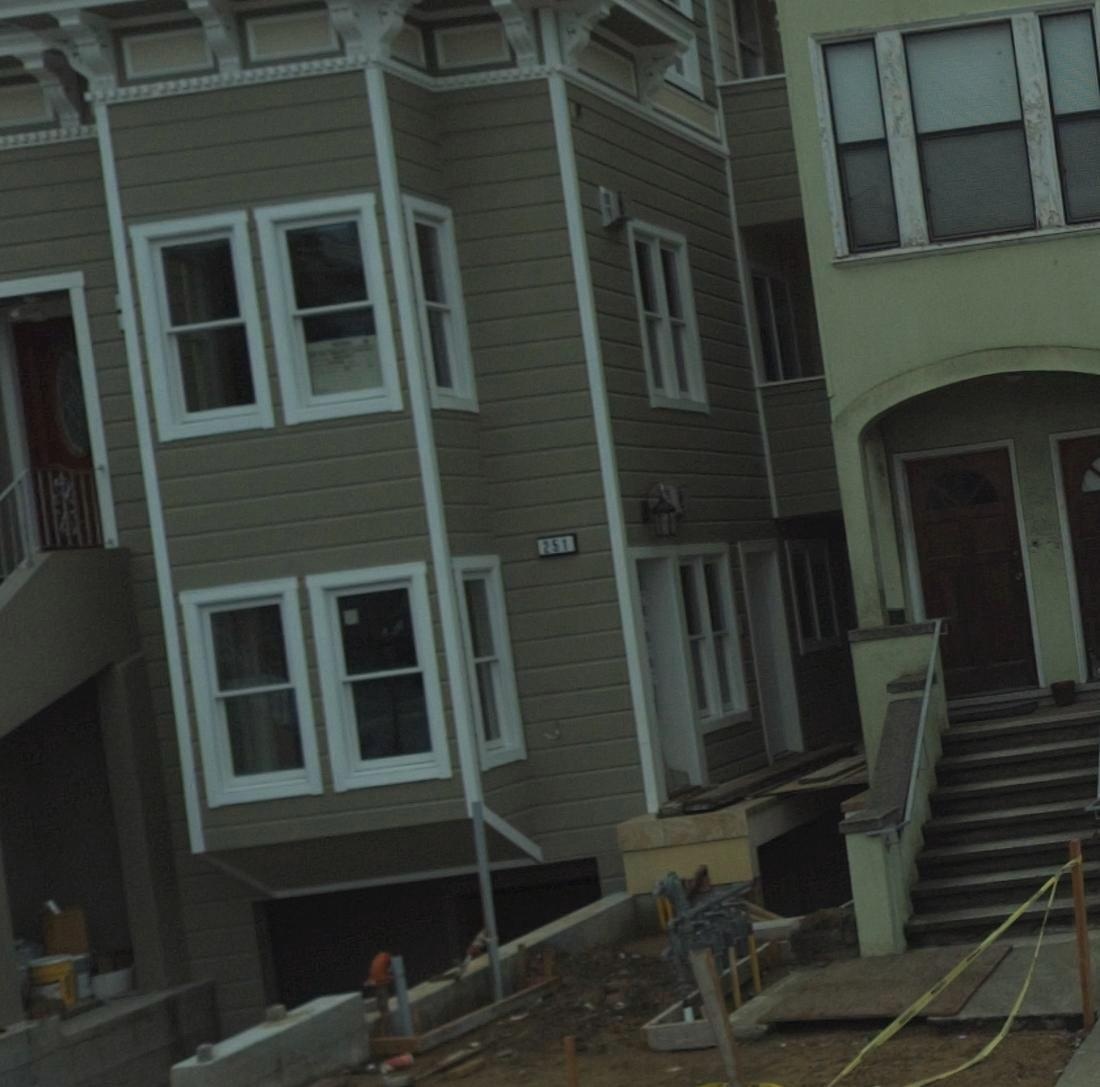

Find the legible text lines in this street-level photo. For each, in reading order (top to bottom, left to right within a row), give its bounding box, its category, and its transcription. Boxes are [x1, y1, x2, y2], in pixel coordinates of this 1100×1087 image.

[540, 537, 571, 555] StreetNumber: 251